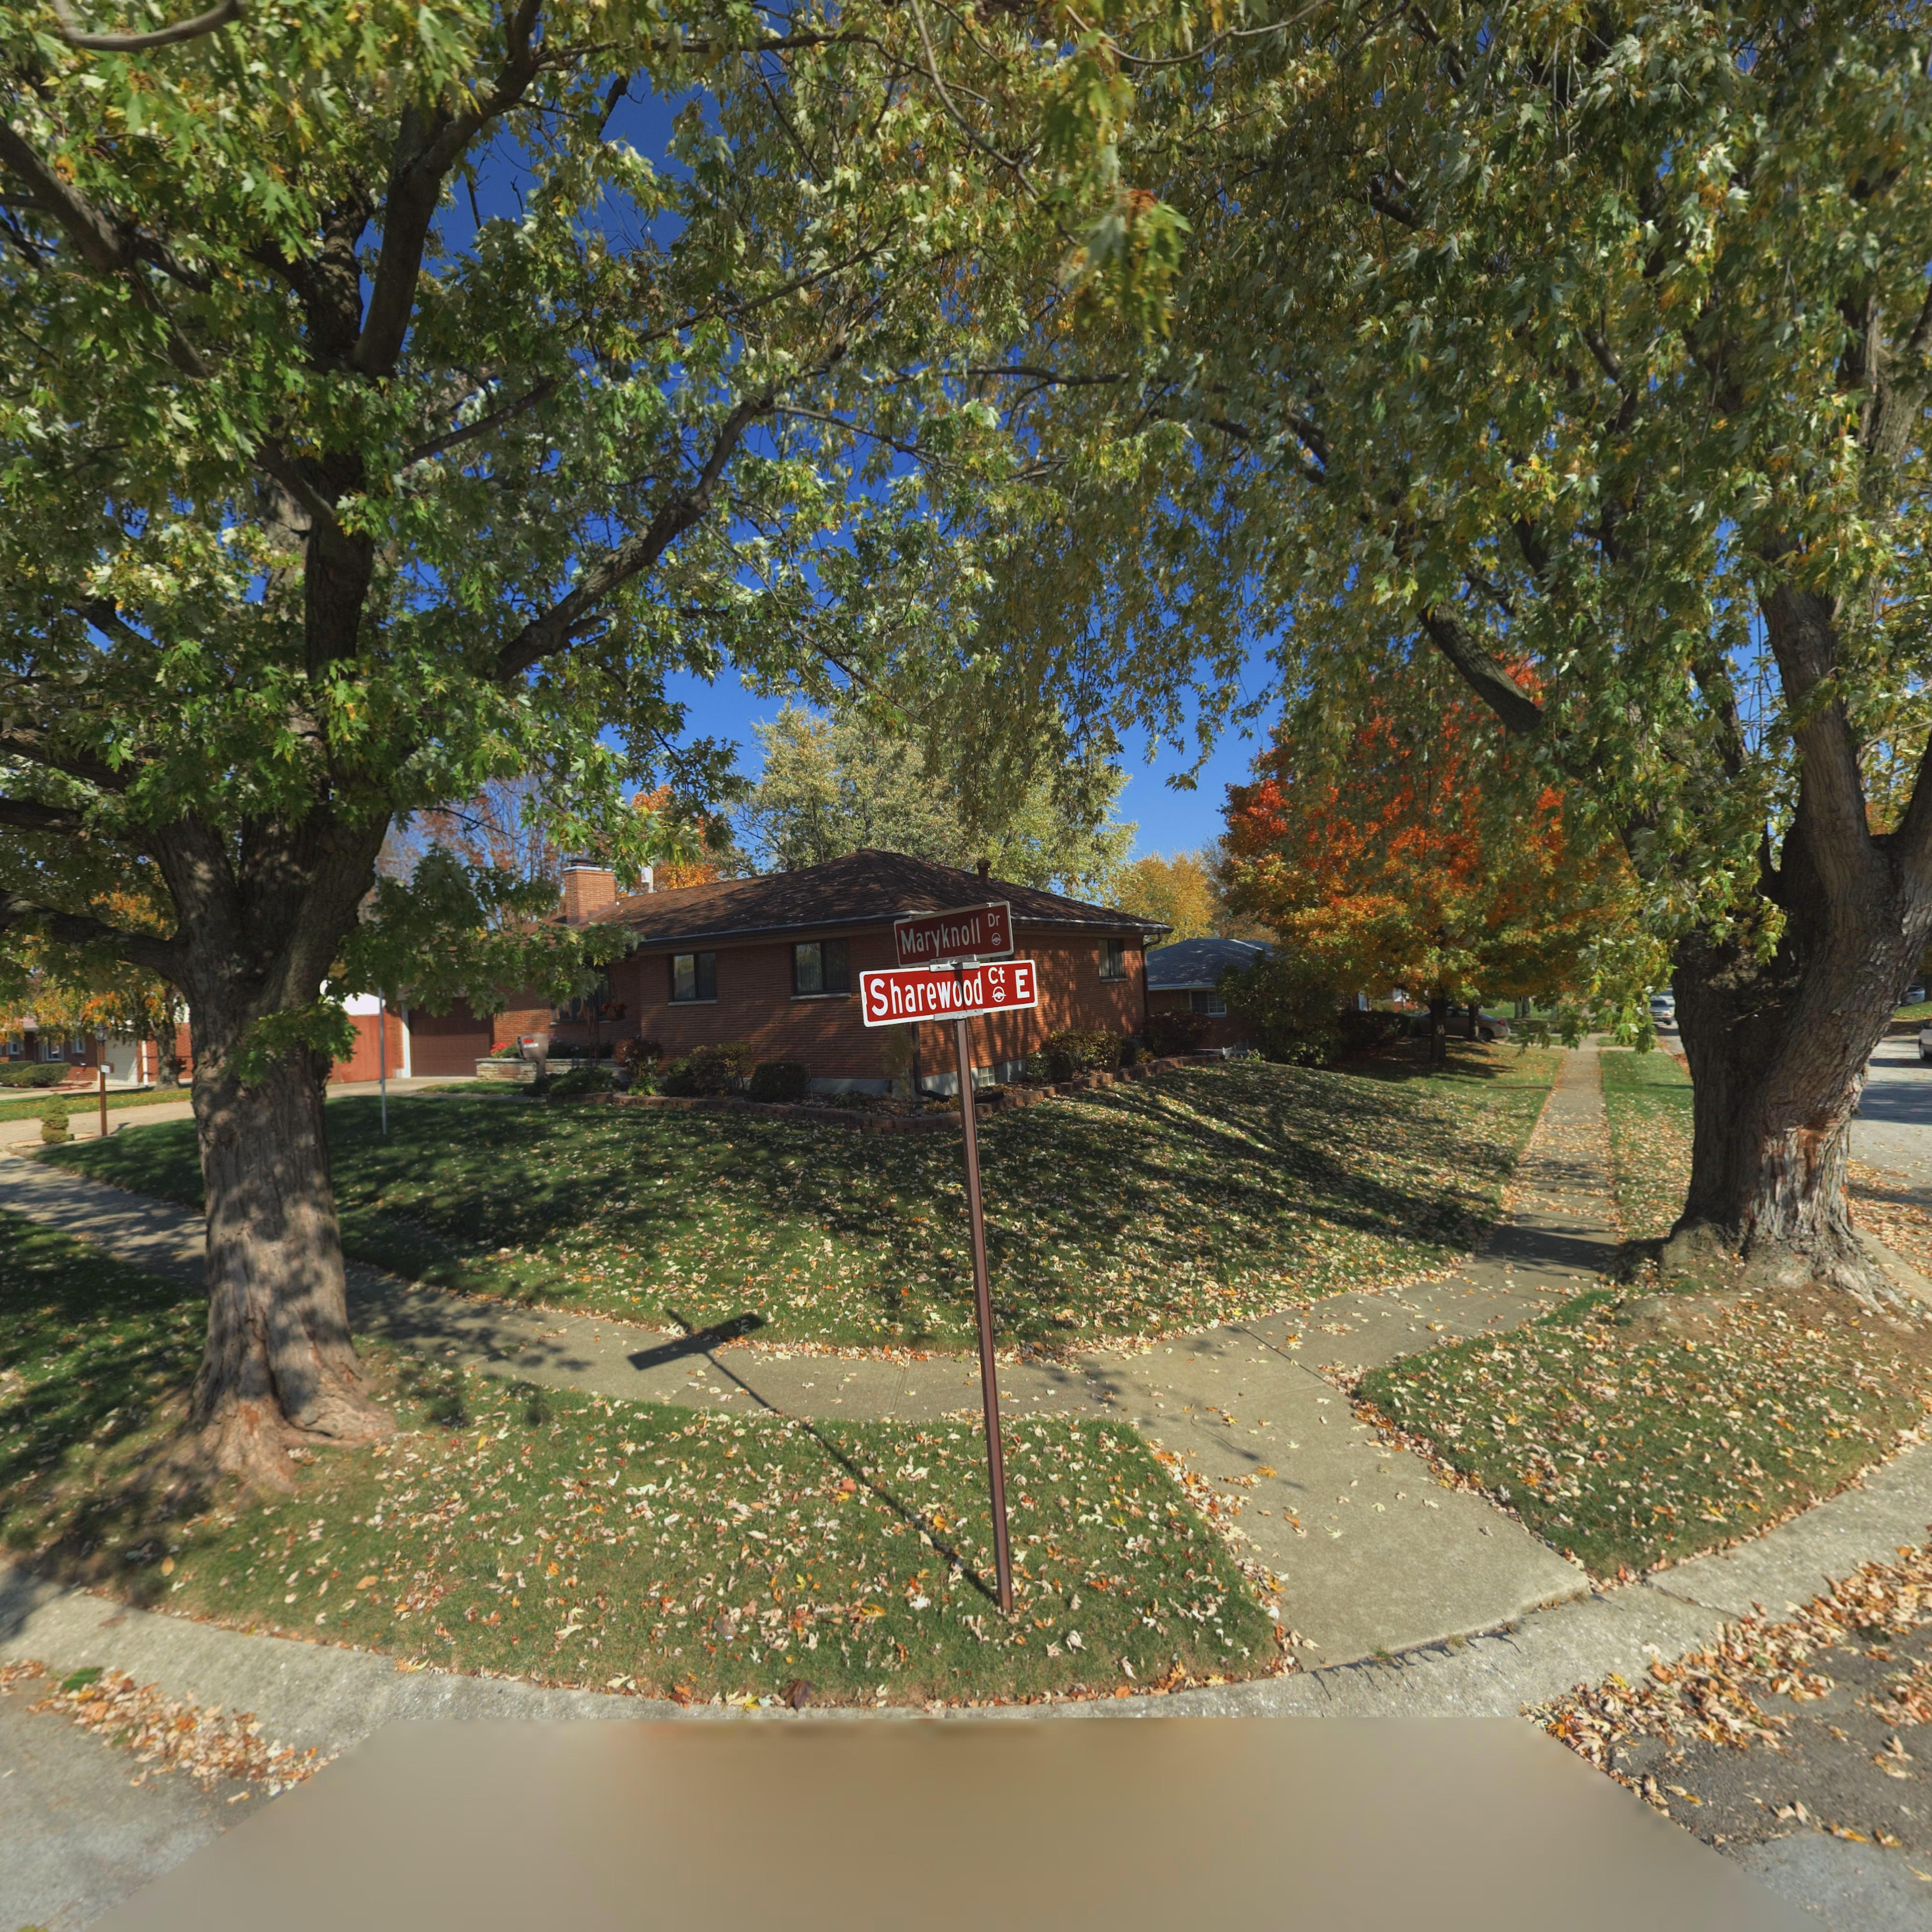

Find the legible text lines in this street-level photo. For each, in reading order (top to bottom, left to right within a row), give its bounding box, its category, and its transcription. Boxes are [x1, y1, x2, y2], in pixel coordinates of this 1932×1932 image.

[898, 911, 1002, 958] StreetName: Maryknoll Dr
[868, 965, 1032, 1018] StreetName: Sharewood Ct E